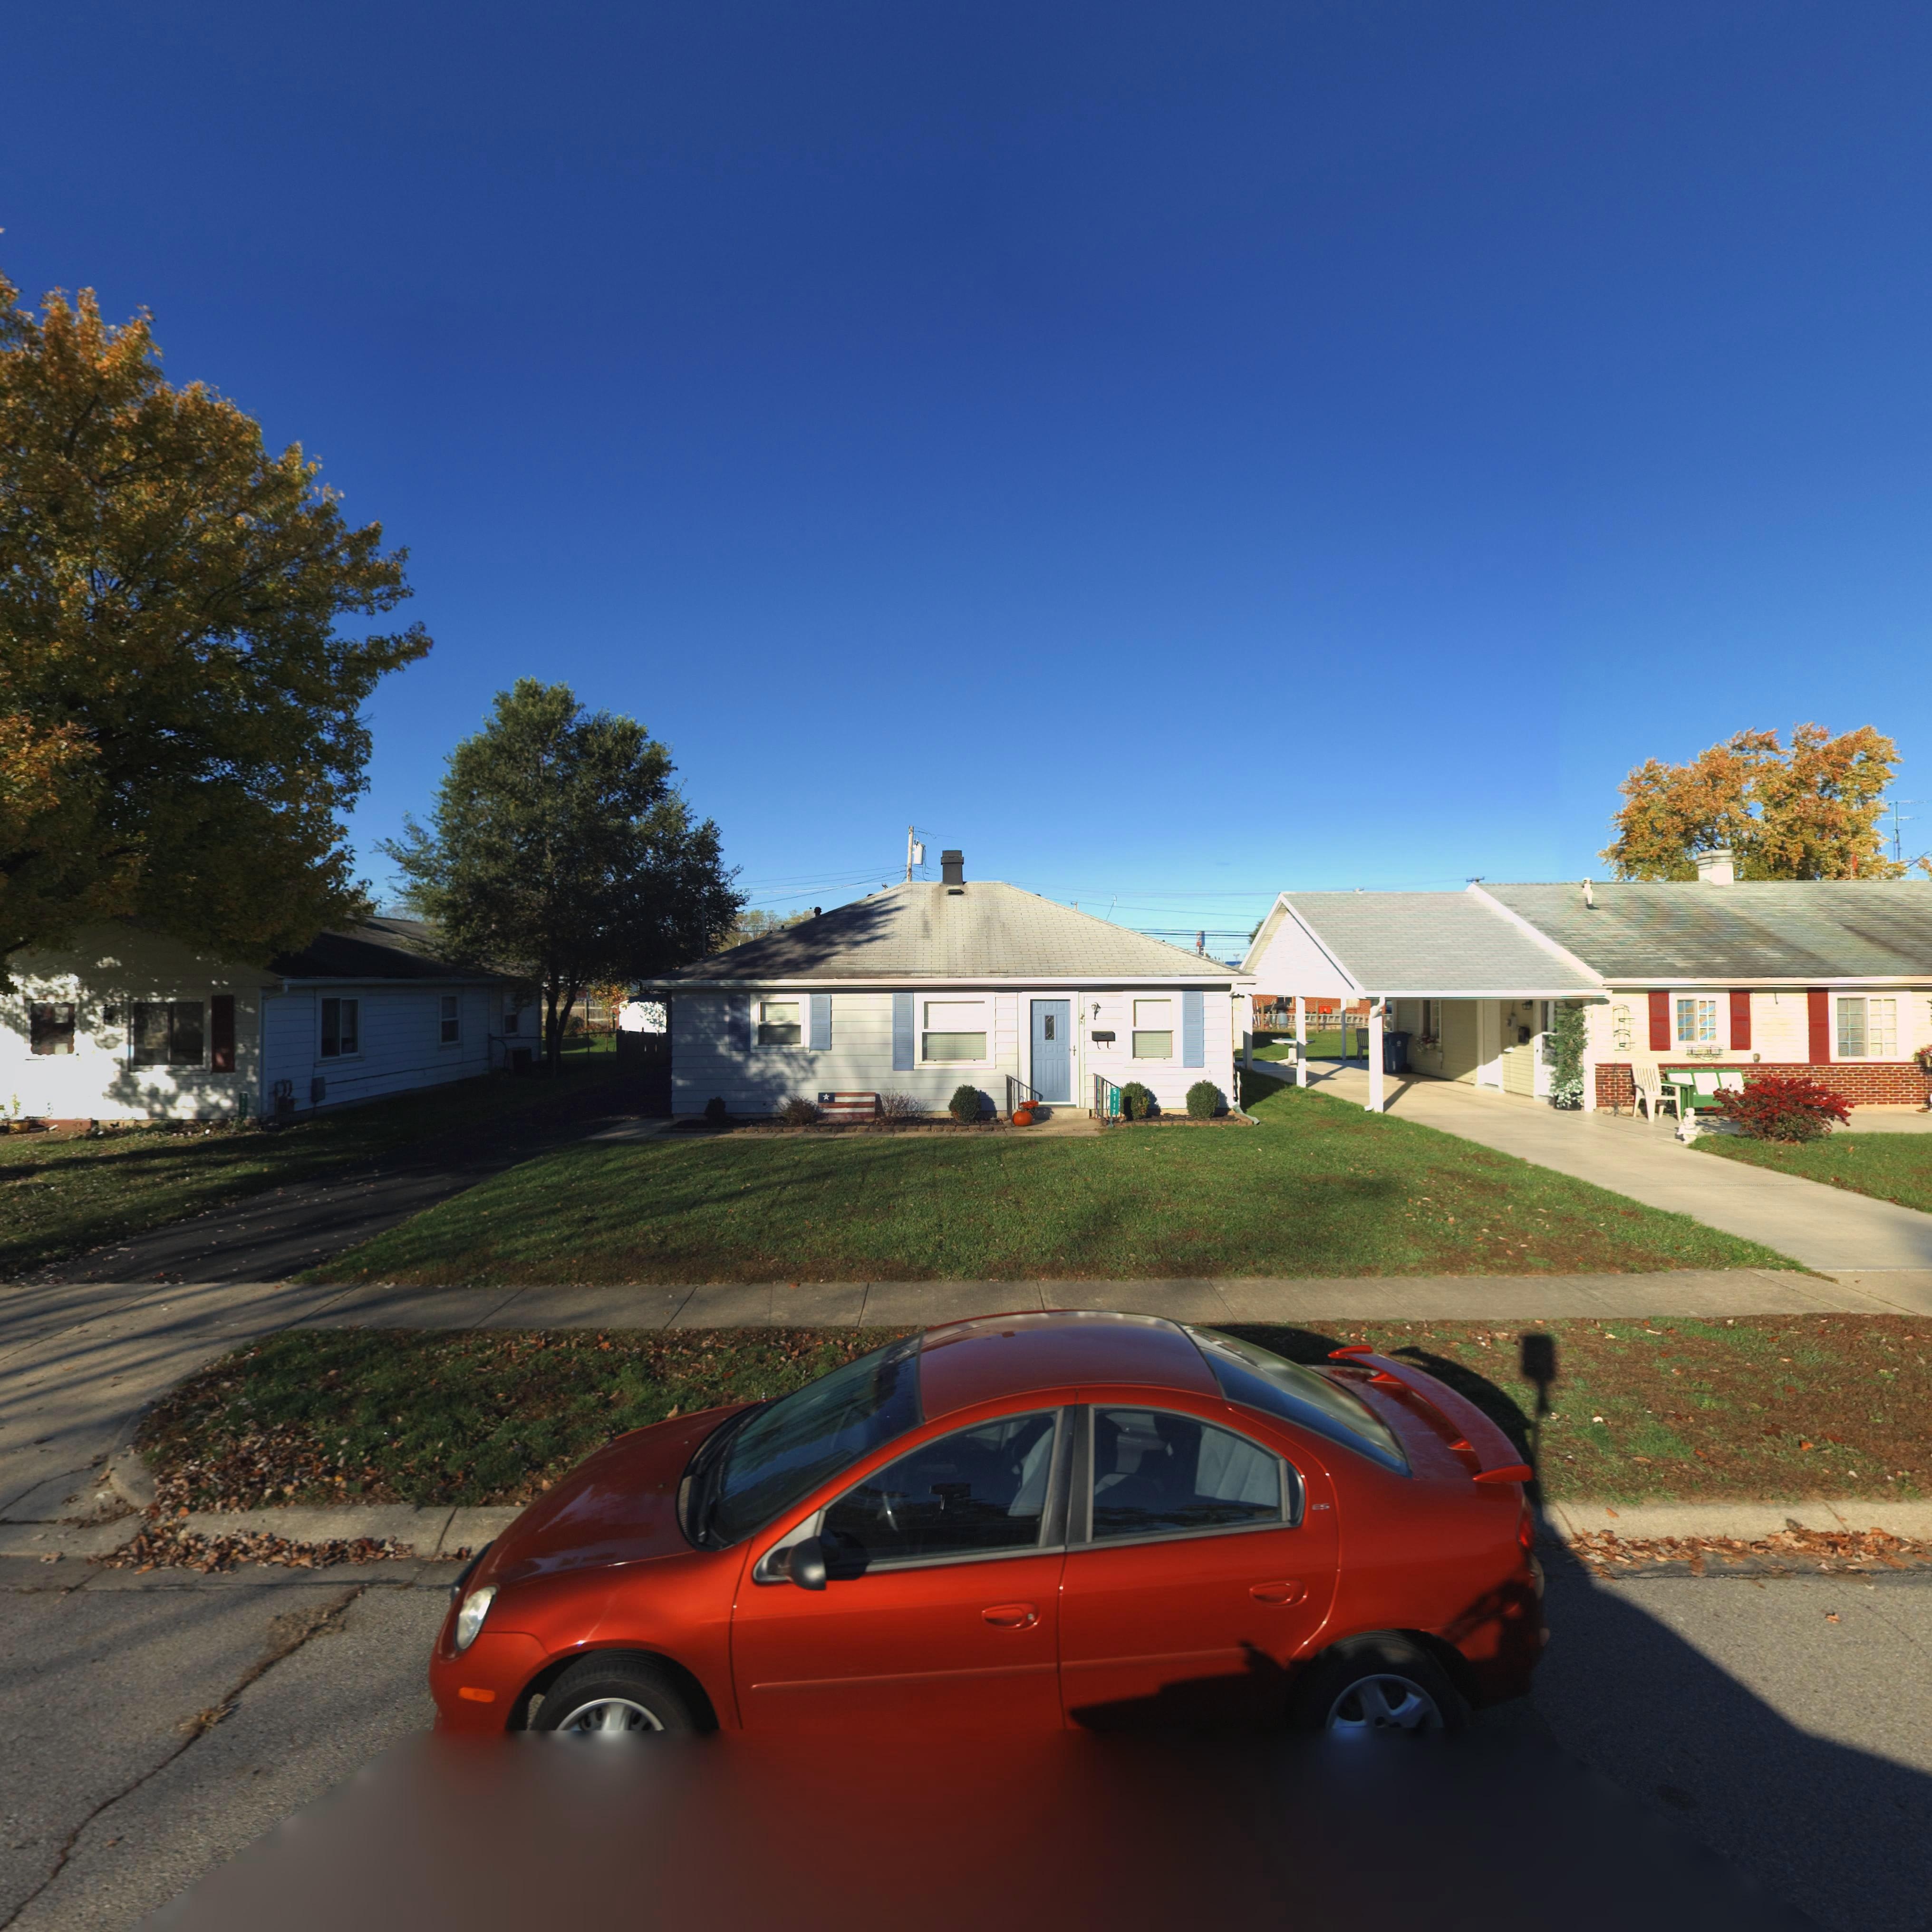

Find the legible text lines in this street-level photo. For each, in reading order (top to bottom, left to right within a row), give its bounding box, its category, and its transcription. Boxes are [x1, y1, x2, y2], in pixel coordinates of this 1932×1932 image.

[240, 1093, 246, 1113] StreetNumber: *12
[1112, 1088, 1117, 1115] StreetNumber: 5117